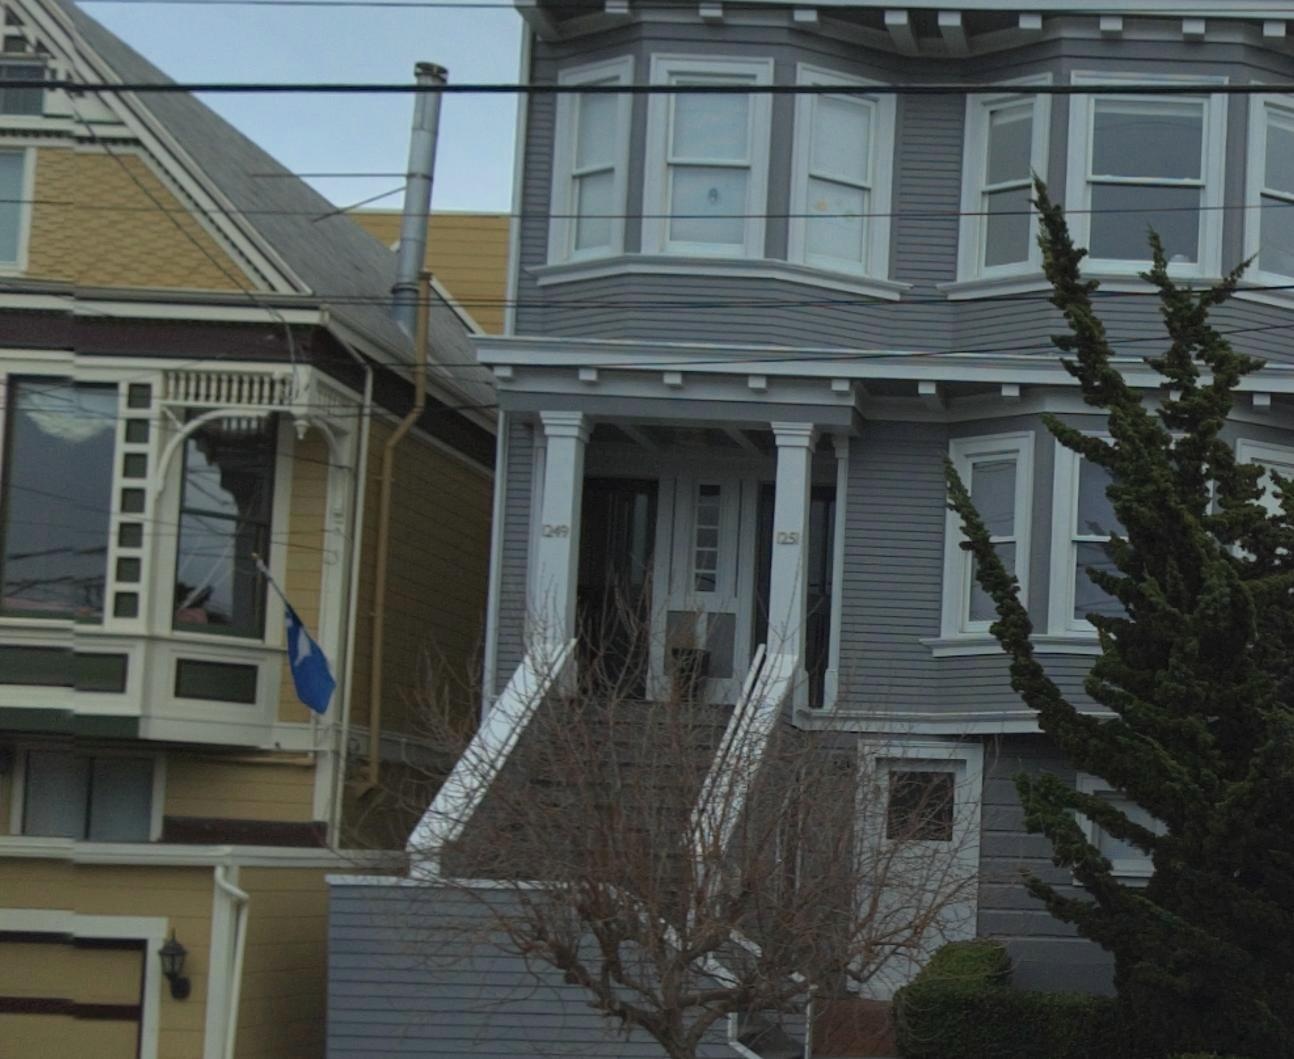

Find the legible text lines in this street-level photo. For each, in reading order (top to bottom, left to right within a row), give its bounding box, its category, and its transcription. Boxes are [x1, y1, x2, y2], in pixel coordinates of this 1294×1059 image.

[539, 523, 570, 539] StreetNumber: 1249
[773, 530, 801, 546] StreetNumber: 1251